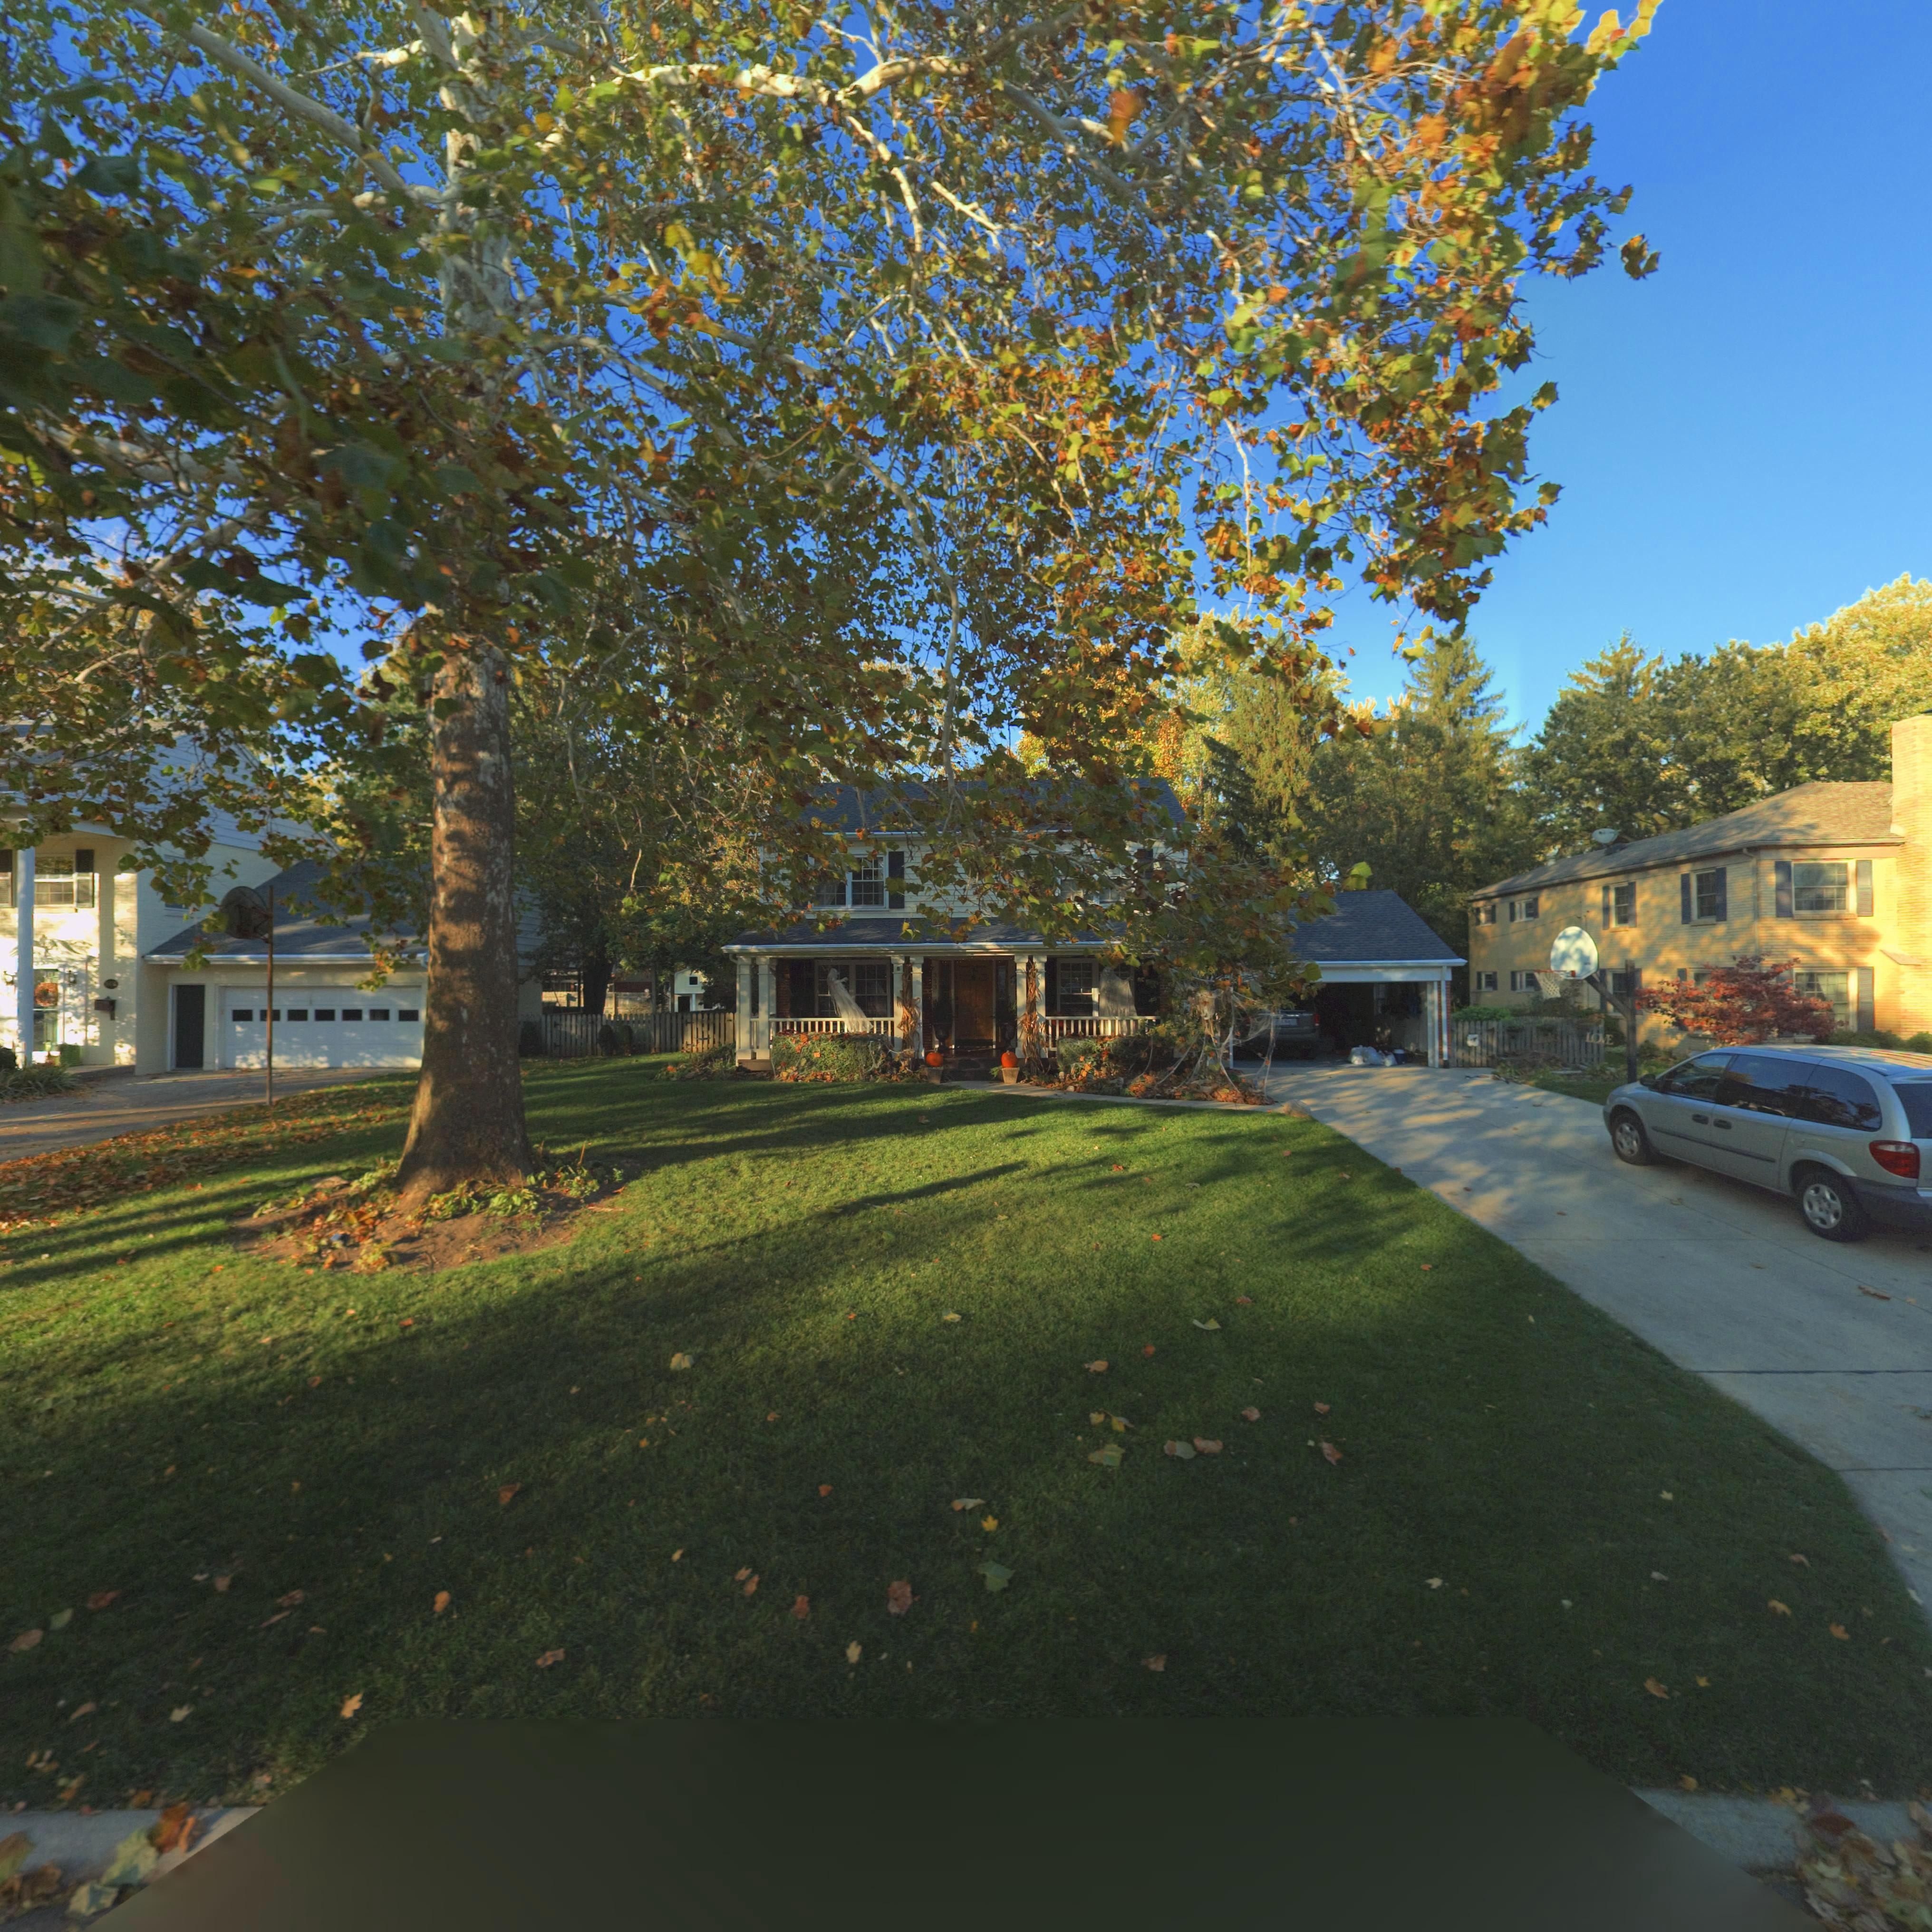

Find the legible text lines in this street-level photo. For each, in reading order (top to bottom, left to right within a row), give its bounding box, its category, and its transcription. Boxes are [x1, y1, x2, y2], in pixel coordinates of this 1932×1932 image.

[932, 972, 937, 990] StreetNumber: 333